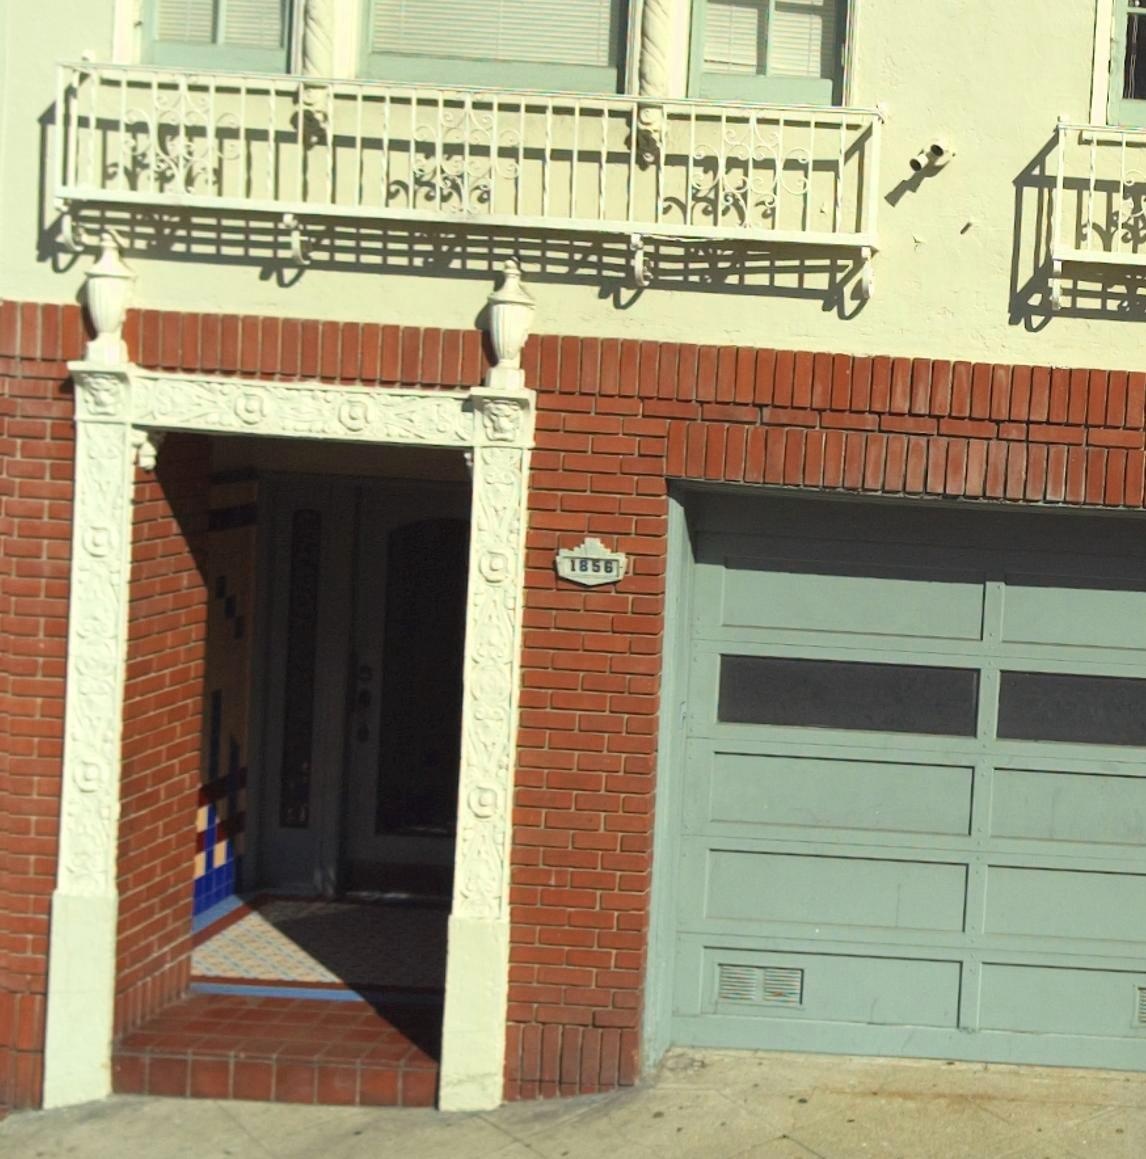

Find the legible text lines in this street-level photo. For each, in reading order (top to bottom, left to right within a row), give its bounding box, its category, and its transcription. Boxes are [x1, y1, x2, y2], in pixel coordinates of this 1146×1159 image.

[569, 557, 616, 575] StreetNumber: 1856